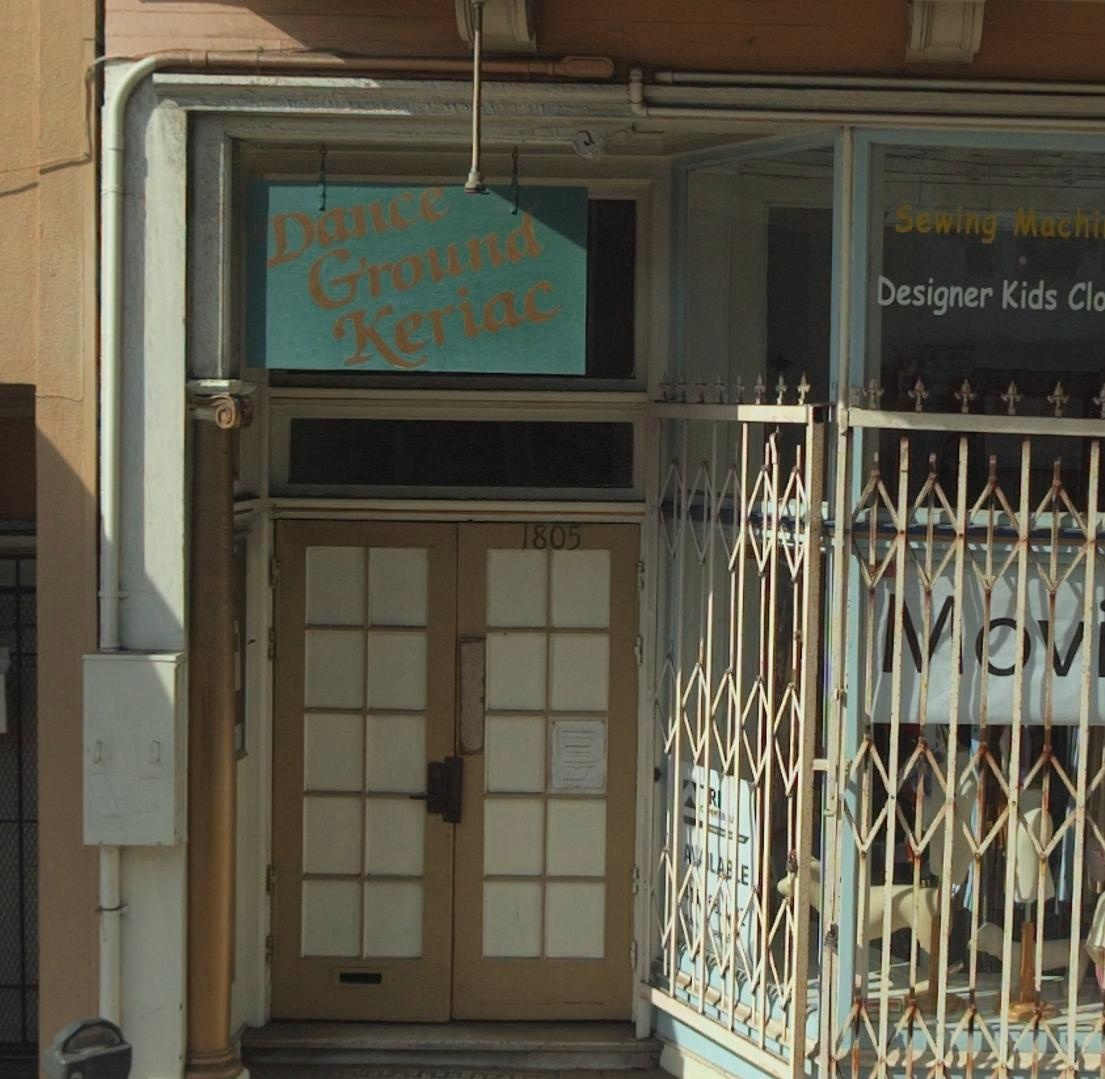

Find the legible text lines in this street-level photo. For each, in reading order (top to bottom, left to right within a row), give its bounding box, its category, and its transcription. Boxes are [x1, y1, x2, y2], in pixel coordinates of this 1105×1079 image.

[264, 178, 460, 271] StreetNumber: Dance
[889, 199, 1103, 247] None: Sewing Machi
[302, 199, 553, 316] StreetNumber: Ground
[874, 271, 1095, 319] None: Designer Kids Cl
[336, 271, 571, 373] StreetNumber: Keriac
[520, 521, 583, 552] StreetNumber: 1805
[681, 841, 752, 891] None: A**L***E